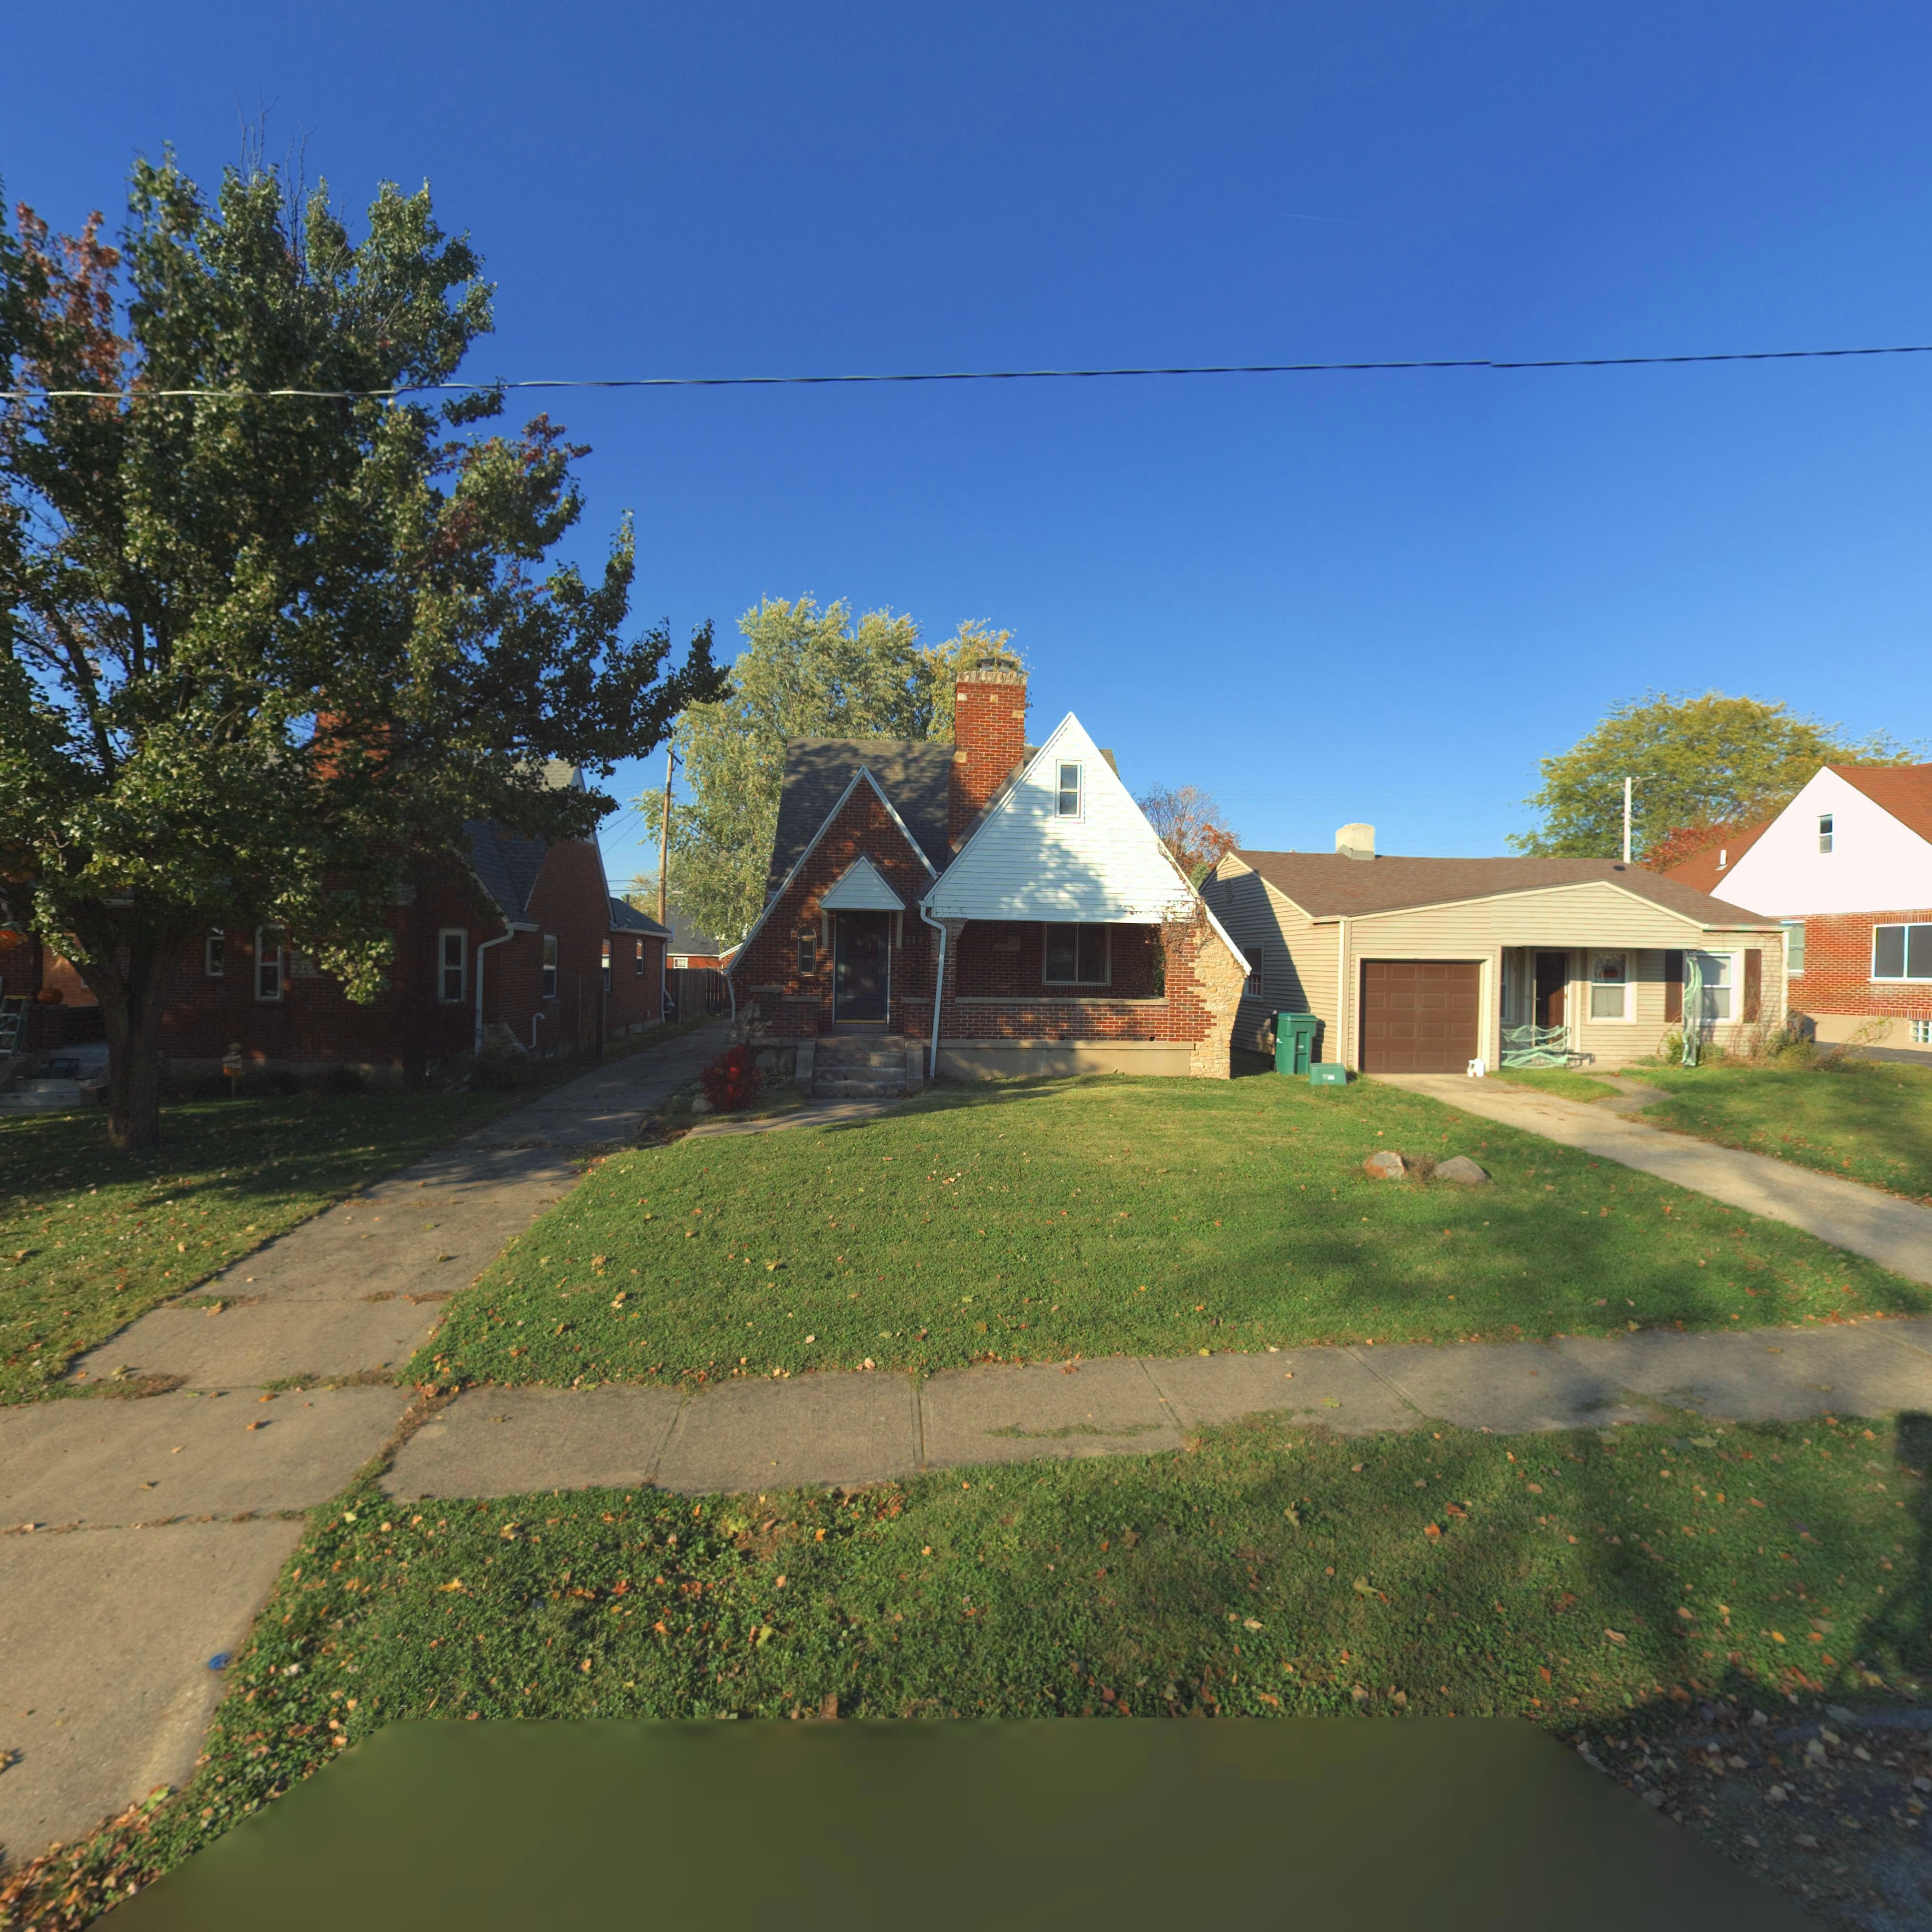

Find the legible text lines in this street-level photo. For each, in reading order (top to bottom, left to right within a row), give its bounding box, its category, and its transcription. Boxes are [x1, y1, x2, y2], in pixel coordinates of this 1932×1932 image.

[905, 935, 923, 944] StreetNumber: 313
[1509, 954, 1517, 973] StreetNumber: *1*